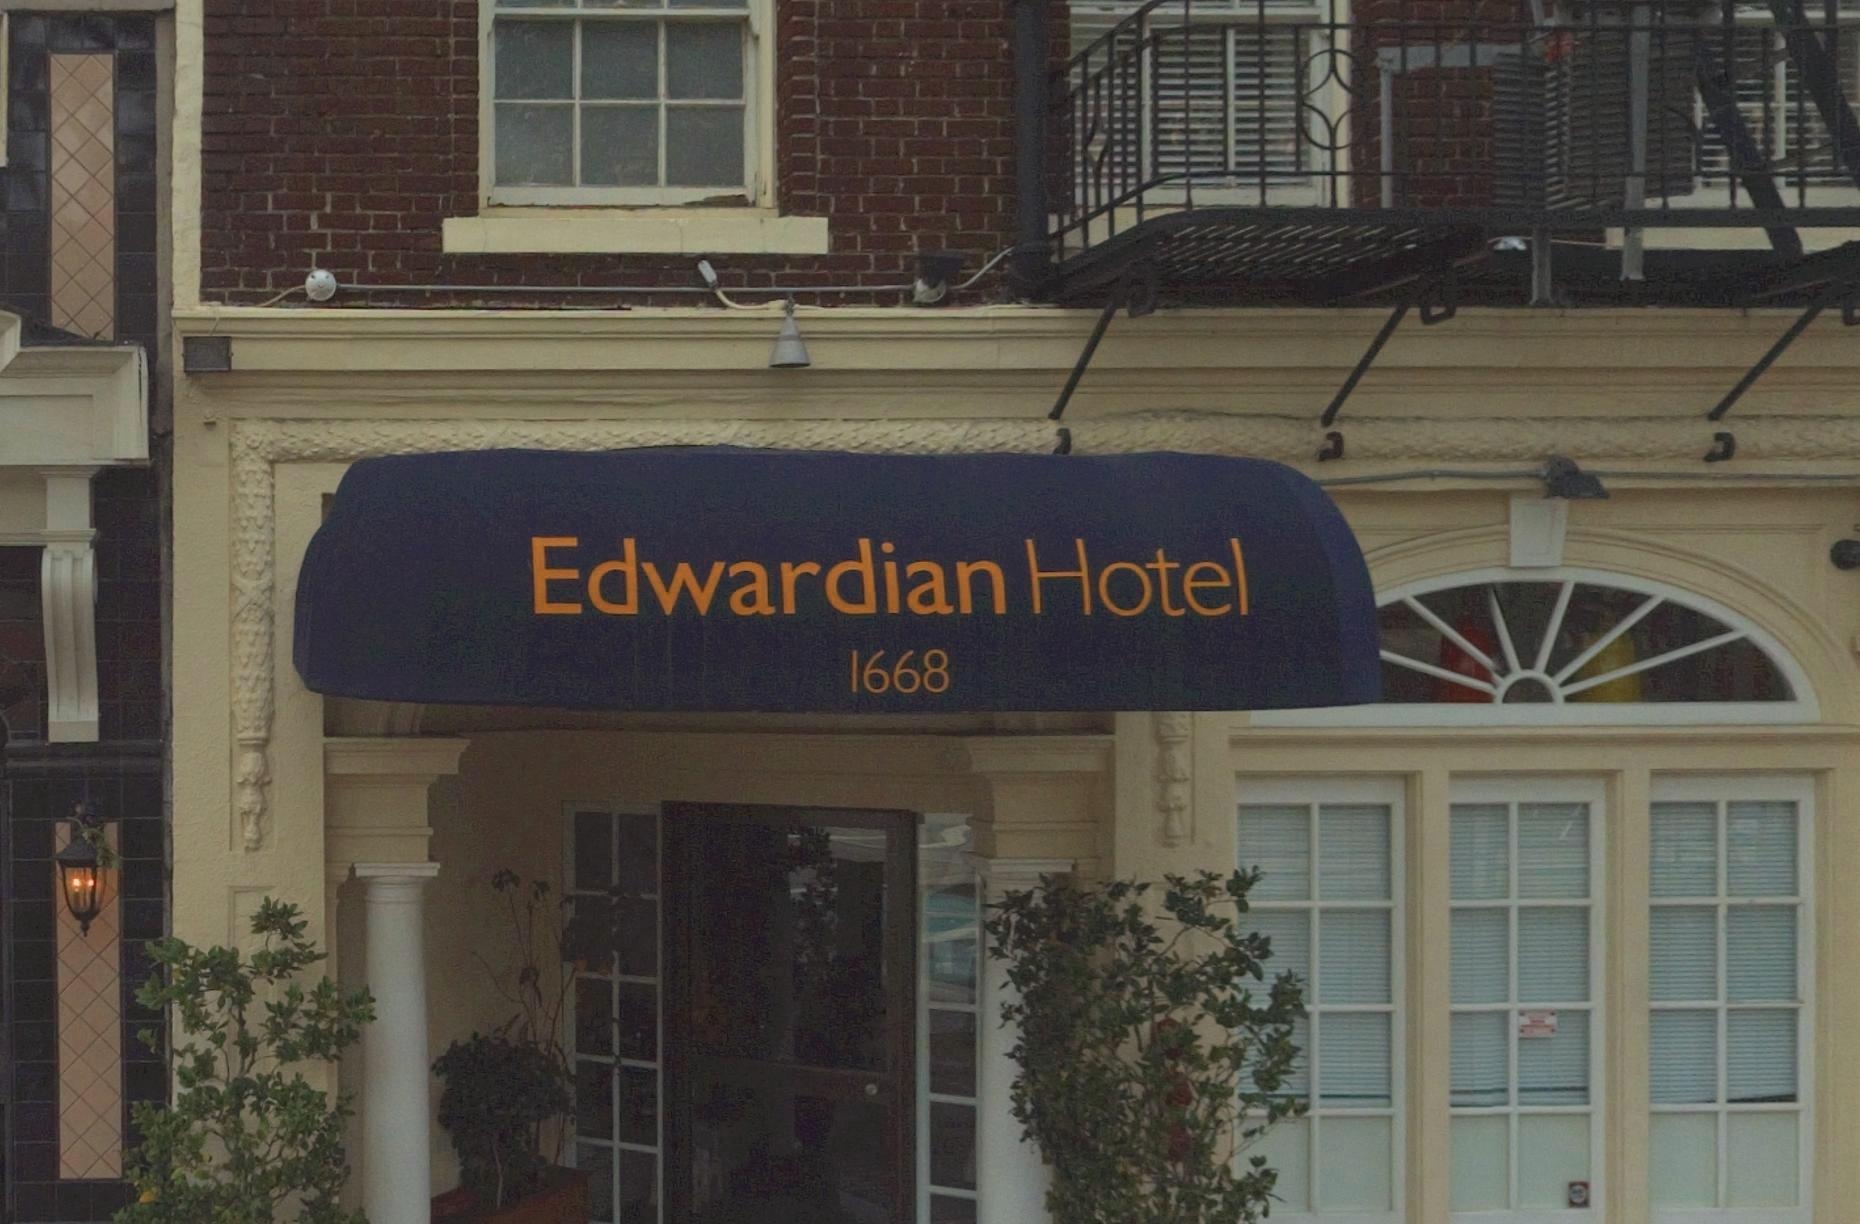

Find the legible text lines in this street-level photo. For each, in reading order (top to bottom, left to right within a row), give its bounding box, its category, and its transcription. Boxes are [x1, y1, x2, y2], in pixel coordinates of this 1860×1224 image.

[527, 530, 1255, 623] BusinessName: Edwardian Hotel
[848, 645, 953, 697] StreetNumber: 1668